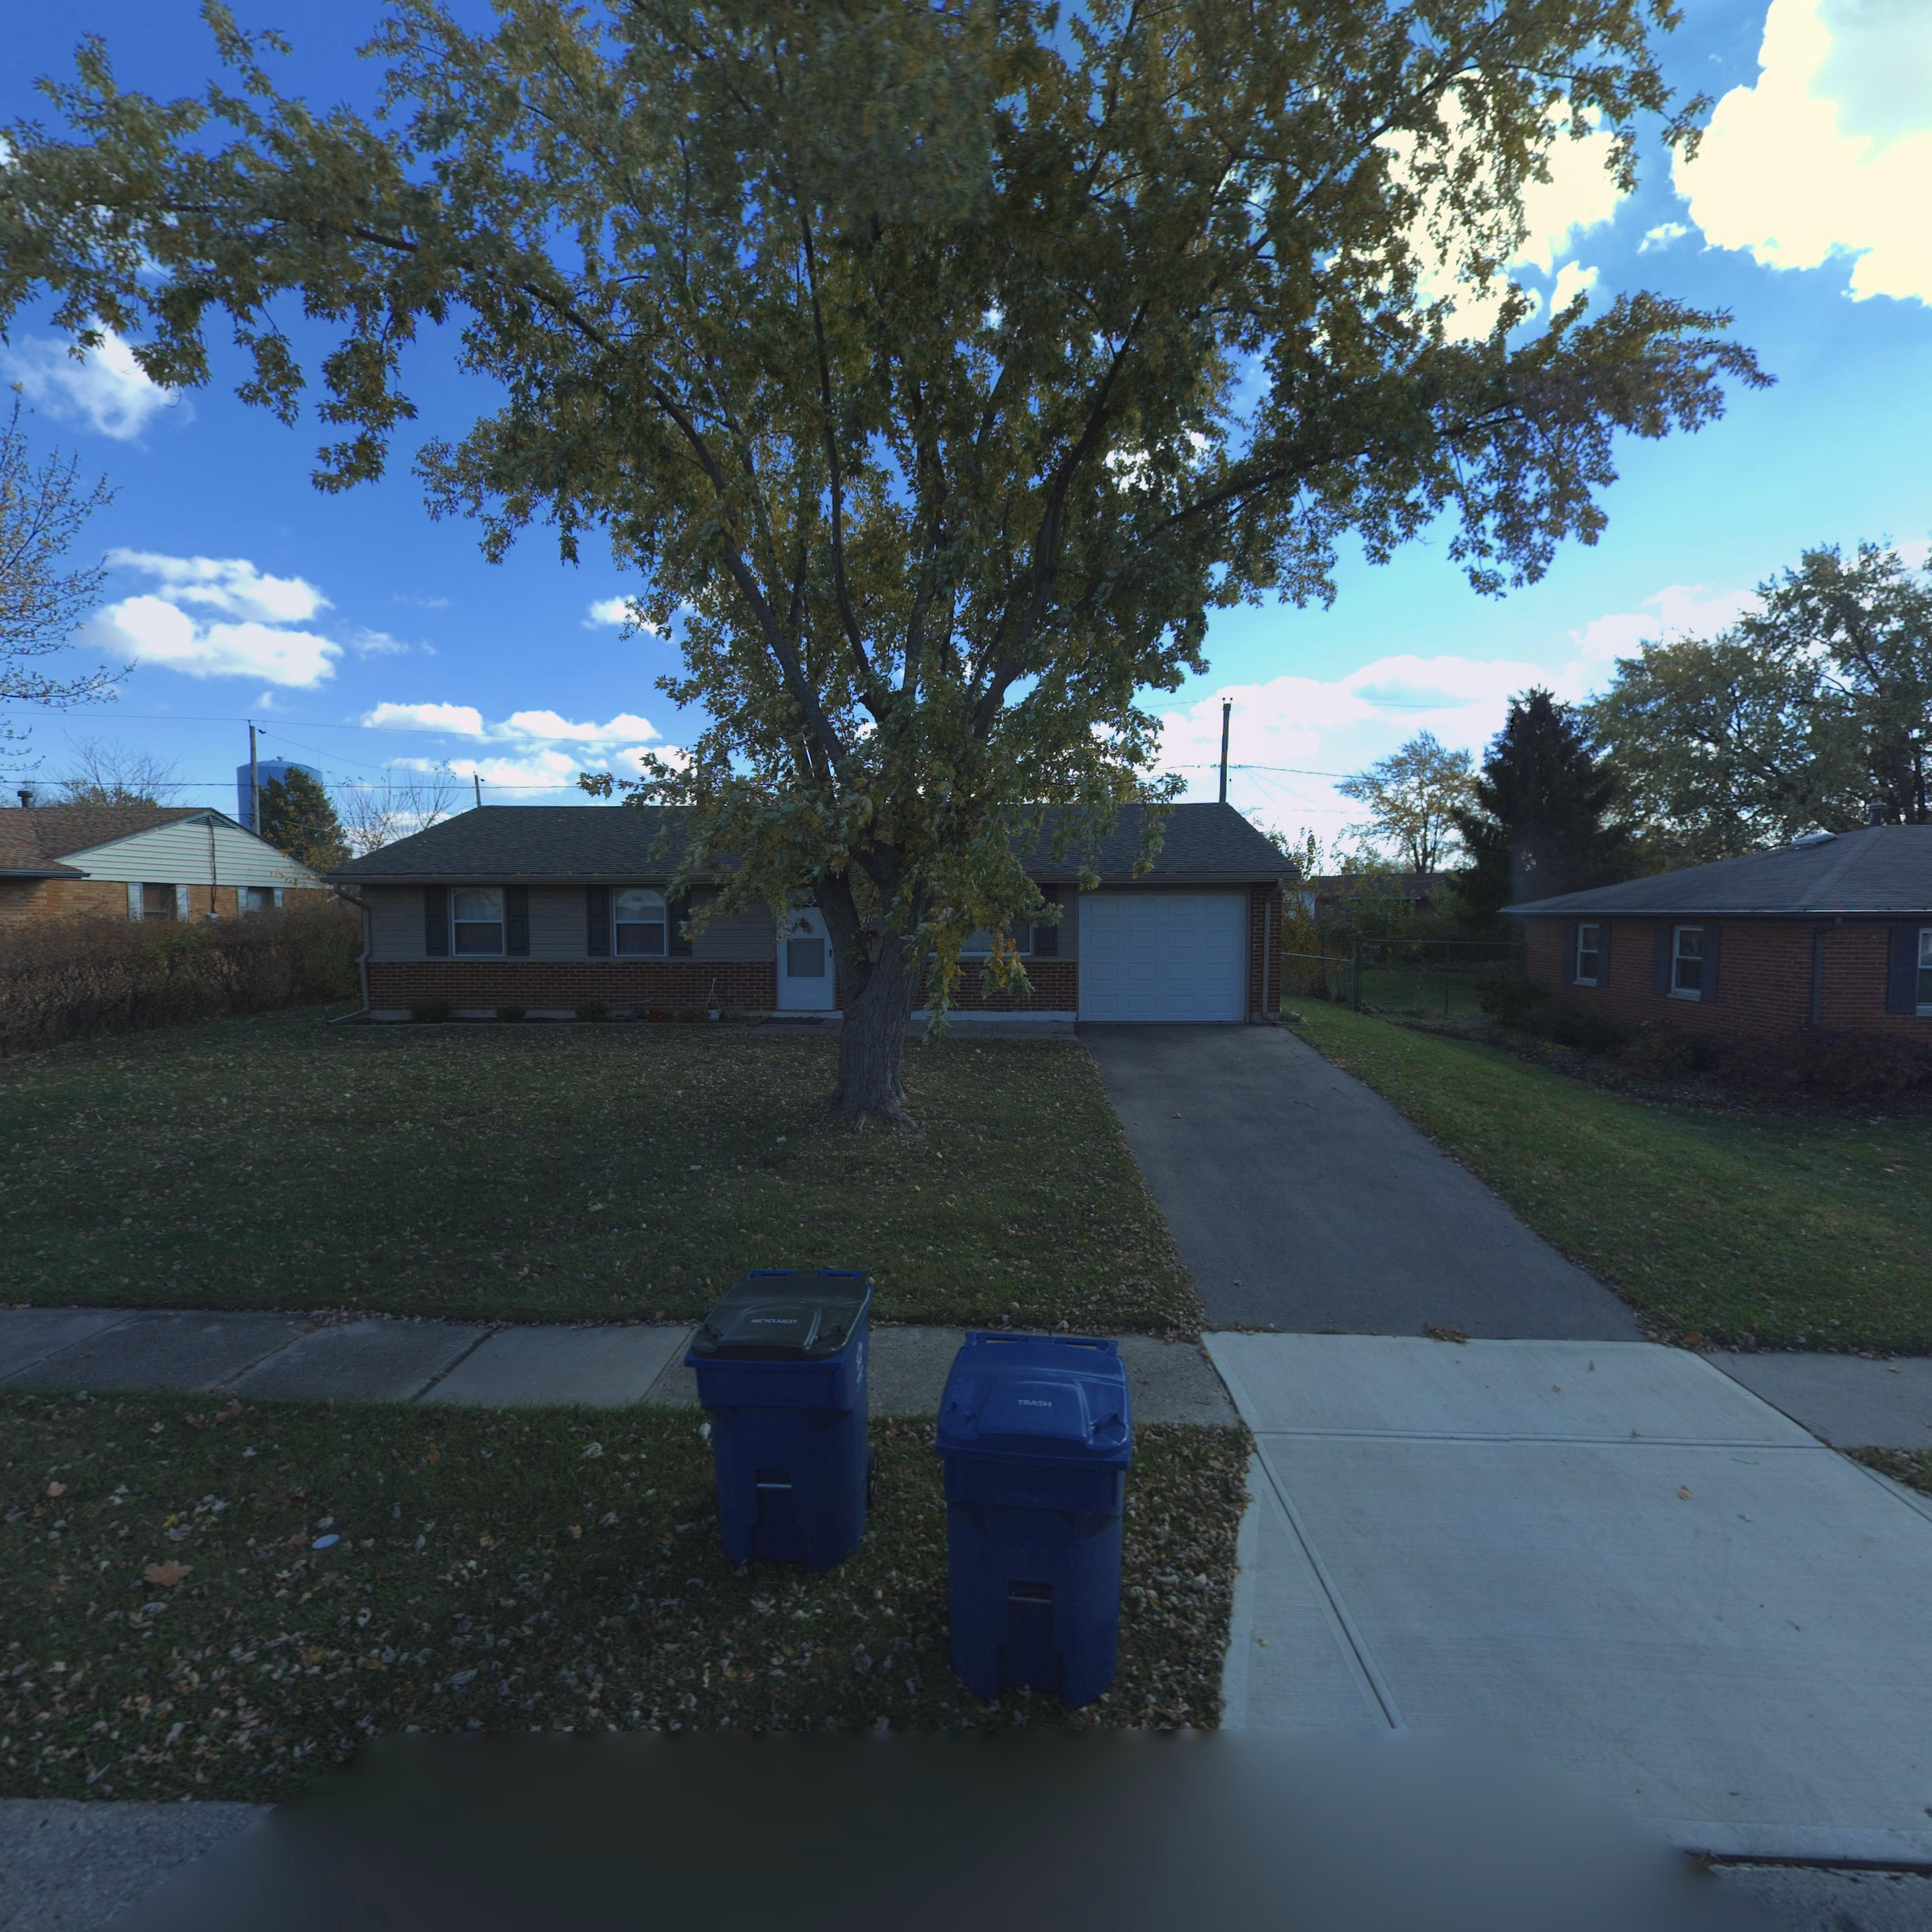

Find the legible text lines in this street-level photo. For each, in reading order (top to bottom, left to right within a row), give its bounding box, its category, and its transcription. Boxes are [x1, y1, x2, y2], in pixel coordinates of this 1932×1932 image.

[863, 914, 875, 923] StreetNumber: 70